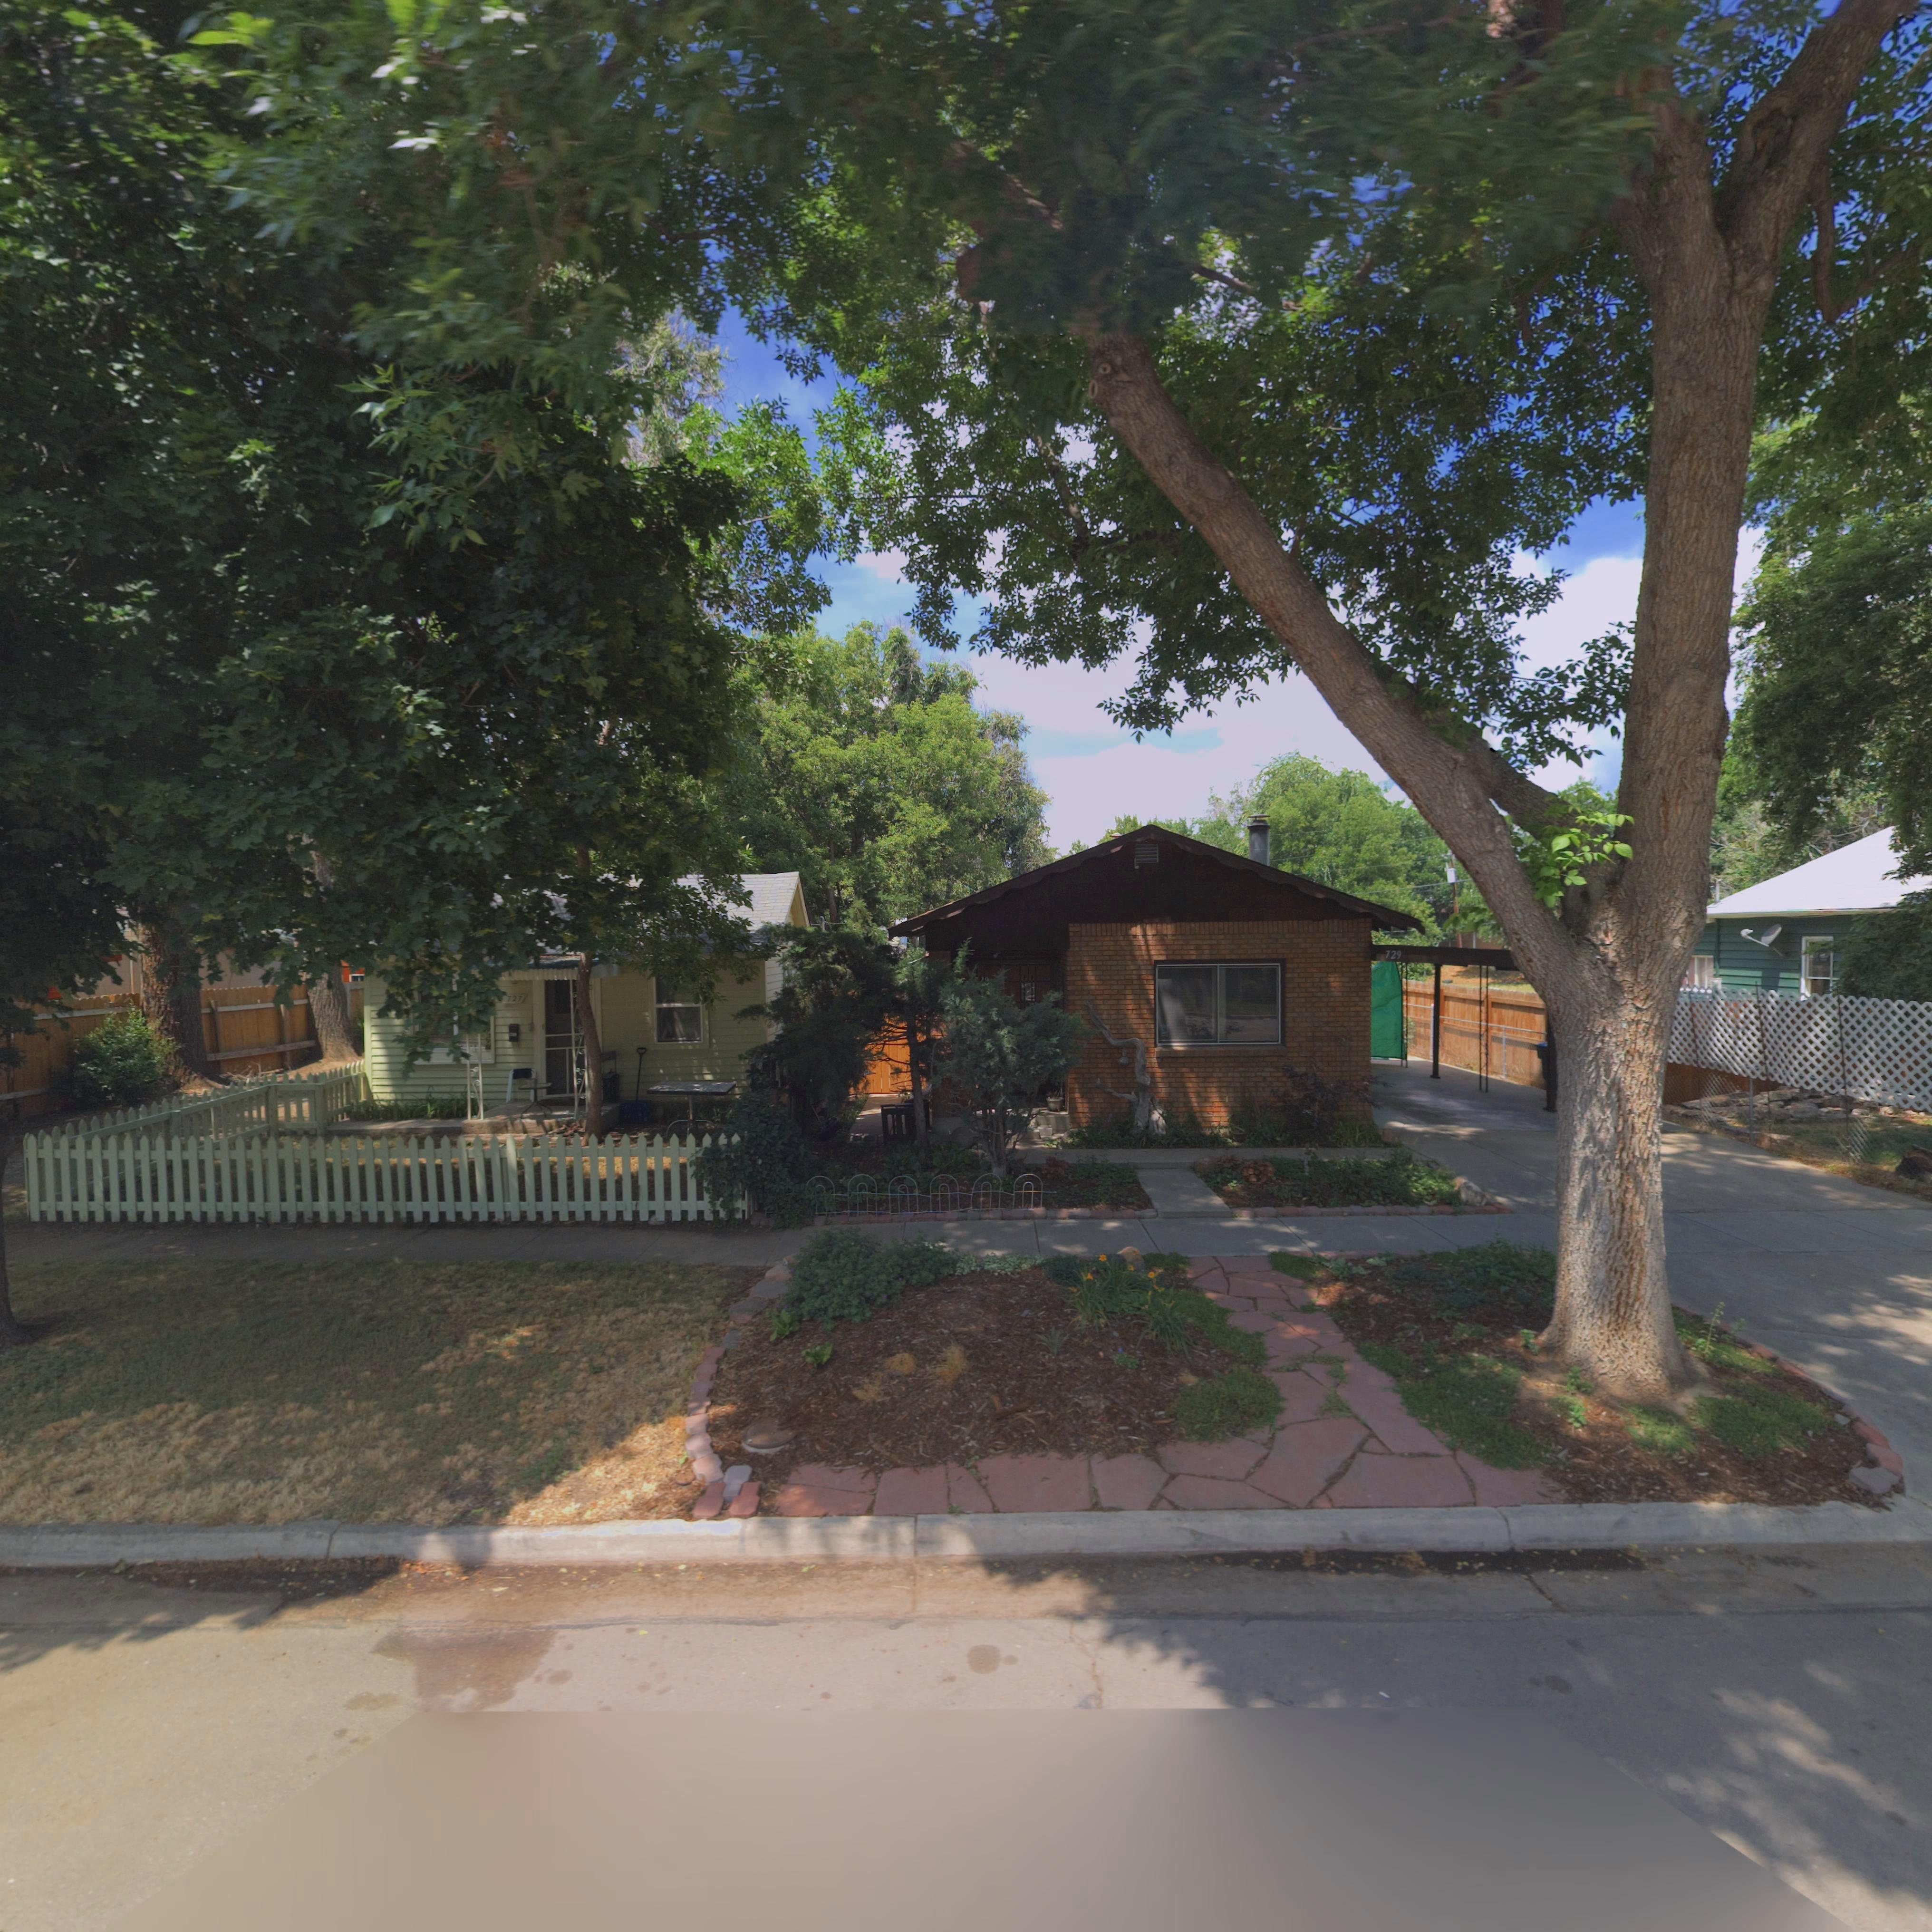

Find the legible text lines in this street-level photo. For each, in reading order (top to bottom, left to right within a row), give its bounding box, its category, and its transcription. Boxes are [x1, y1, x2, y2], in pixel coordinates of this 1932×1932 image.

[1385, 950, 1402, 959] StreetNumber: 729
[506, 995, 523, 1002] StreetNumber: 727